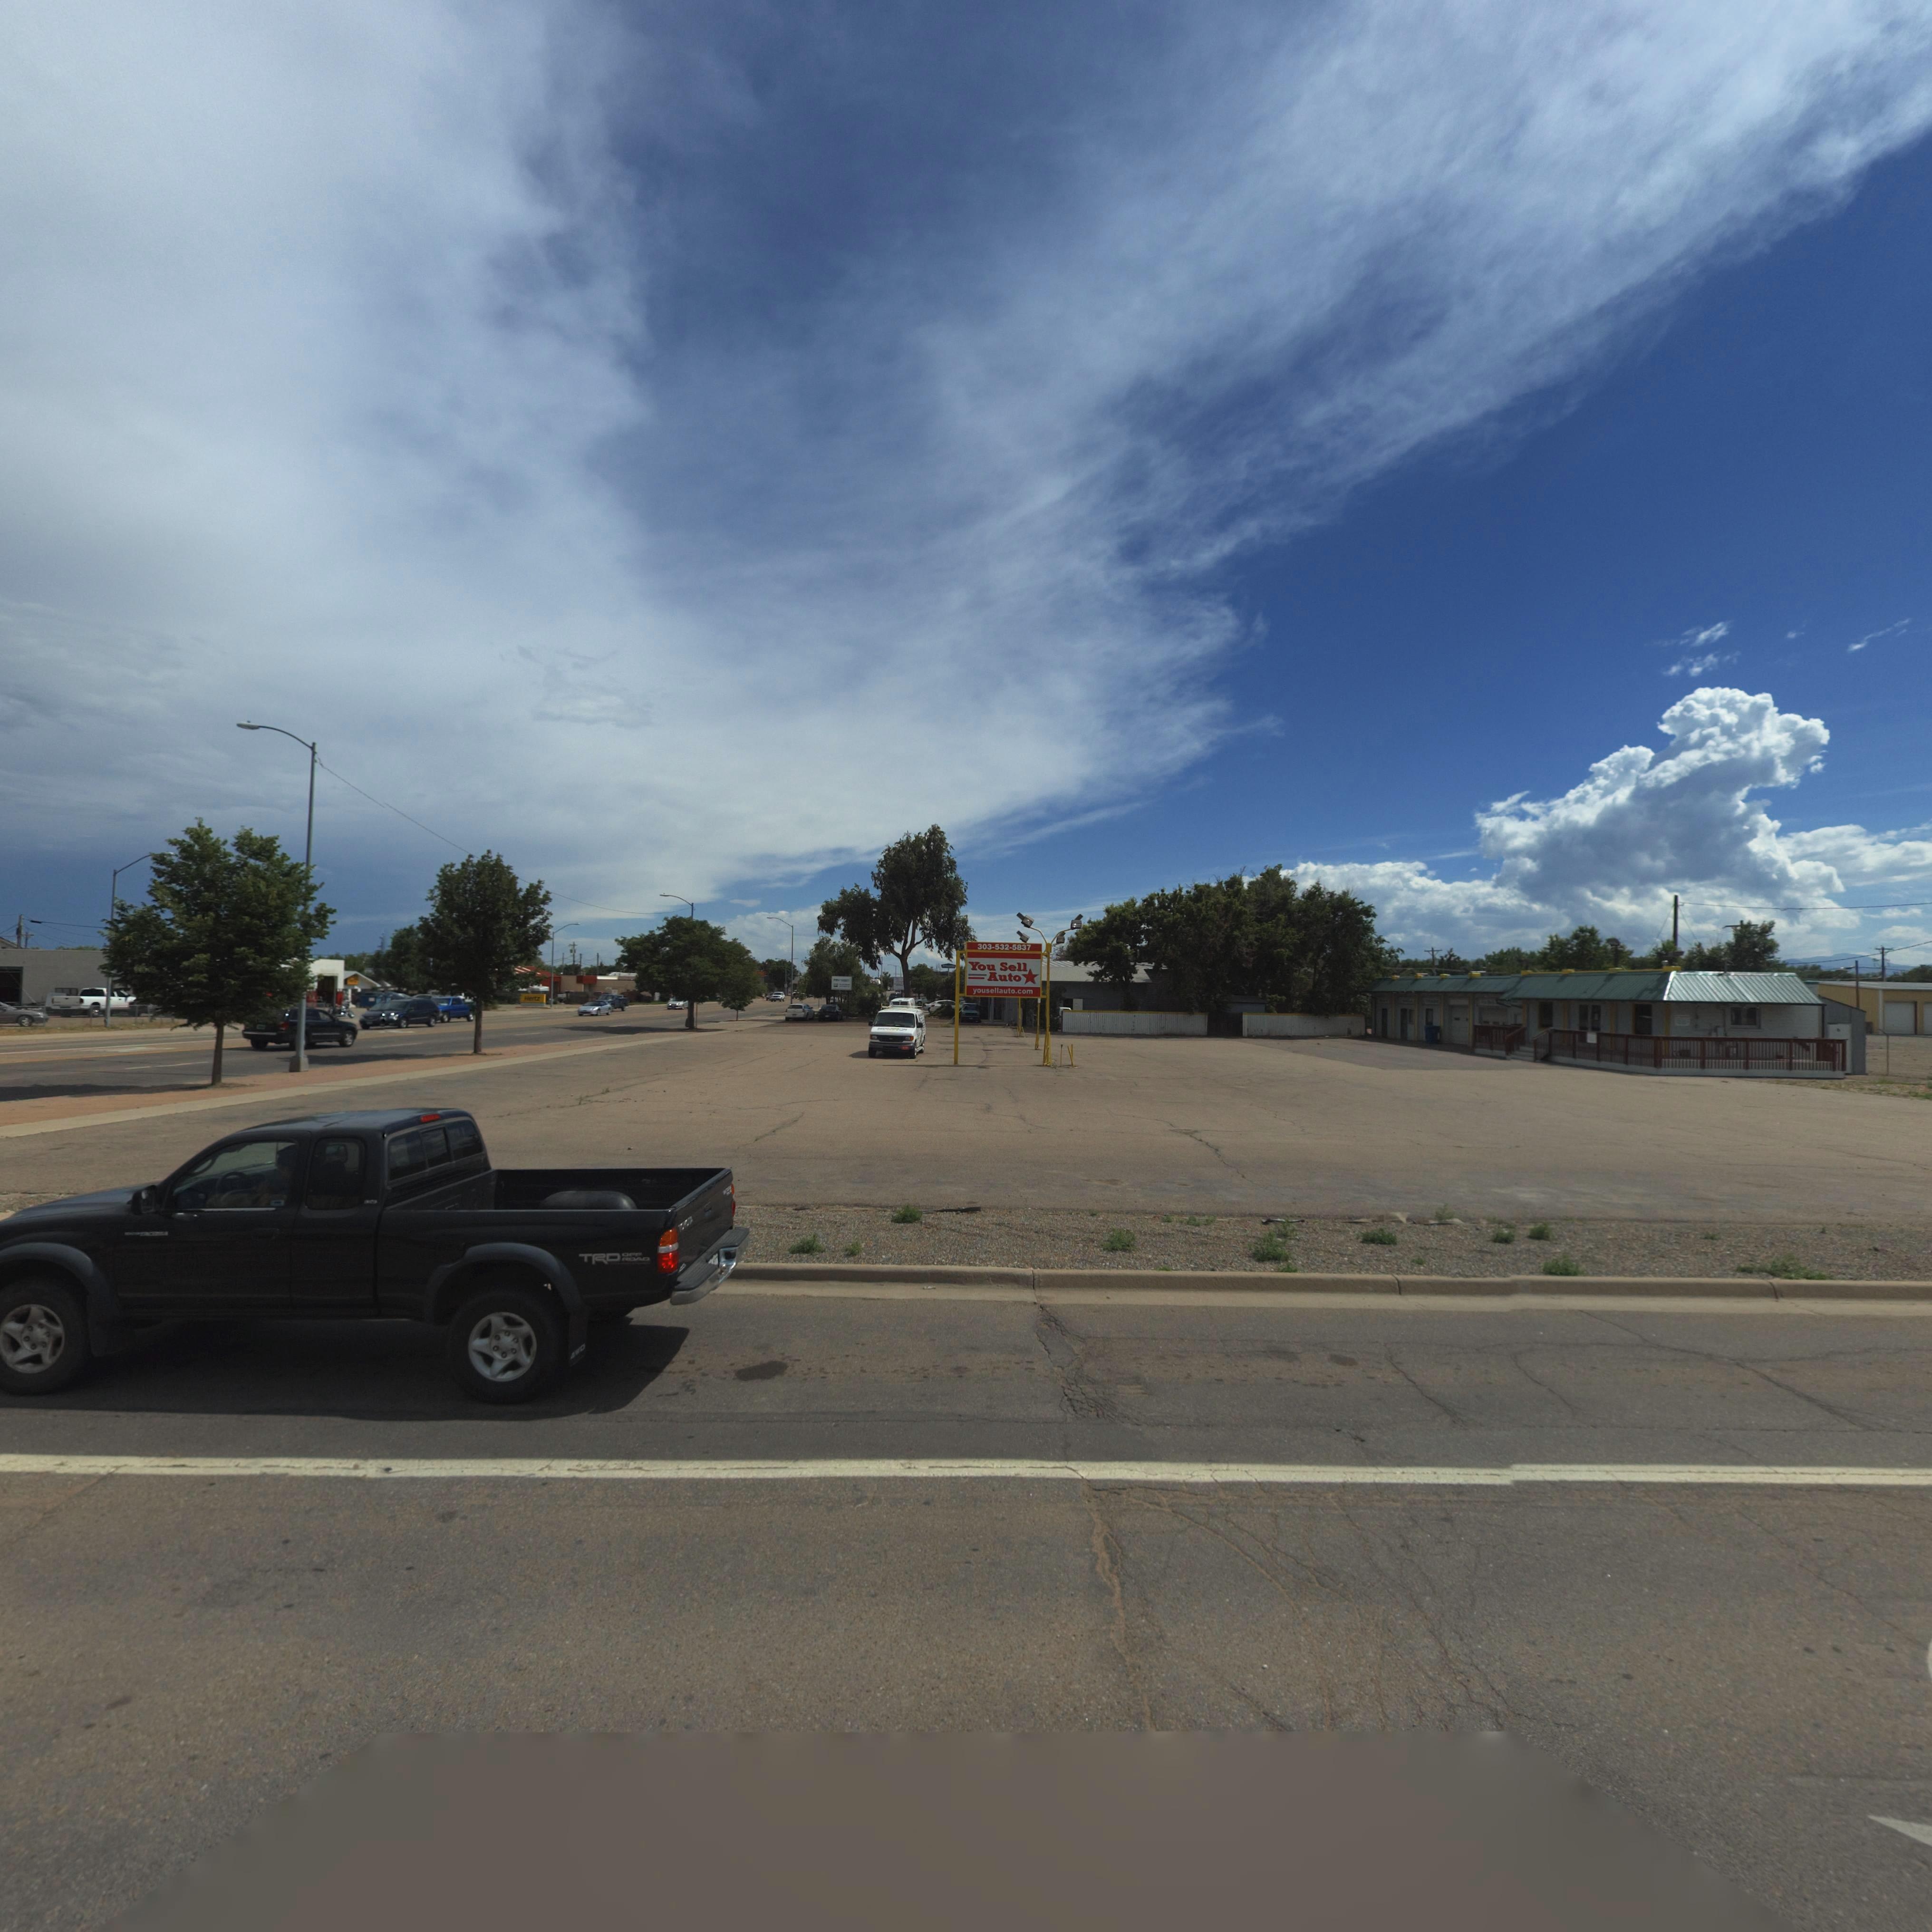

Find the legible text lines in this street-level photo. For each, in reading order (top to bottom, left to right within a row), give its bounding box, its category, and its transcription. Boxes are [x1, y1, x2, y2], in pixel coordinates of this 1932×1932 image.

[968, 961, 1027, 971] BusinessName: You Sell
[986, 971, 1021, 982] BusinessName: Auto
[524, 995, 540, 1001] BusinessName: Hertz